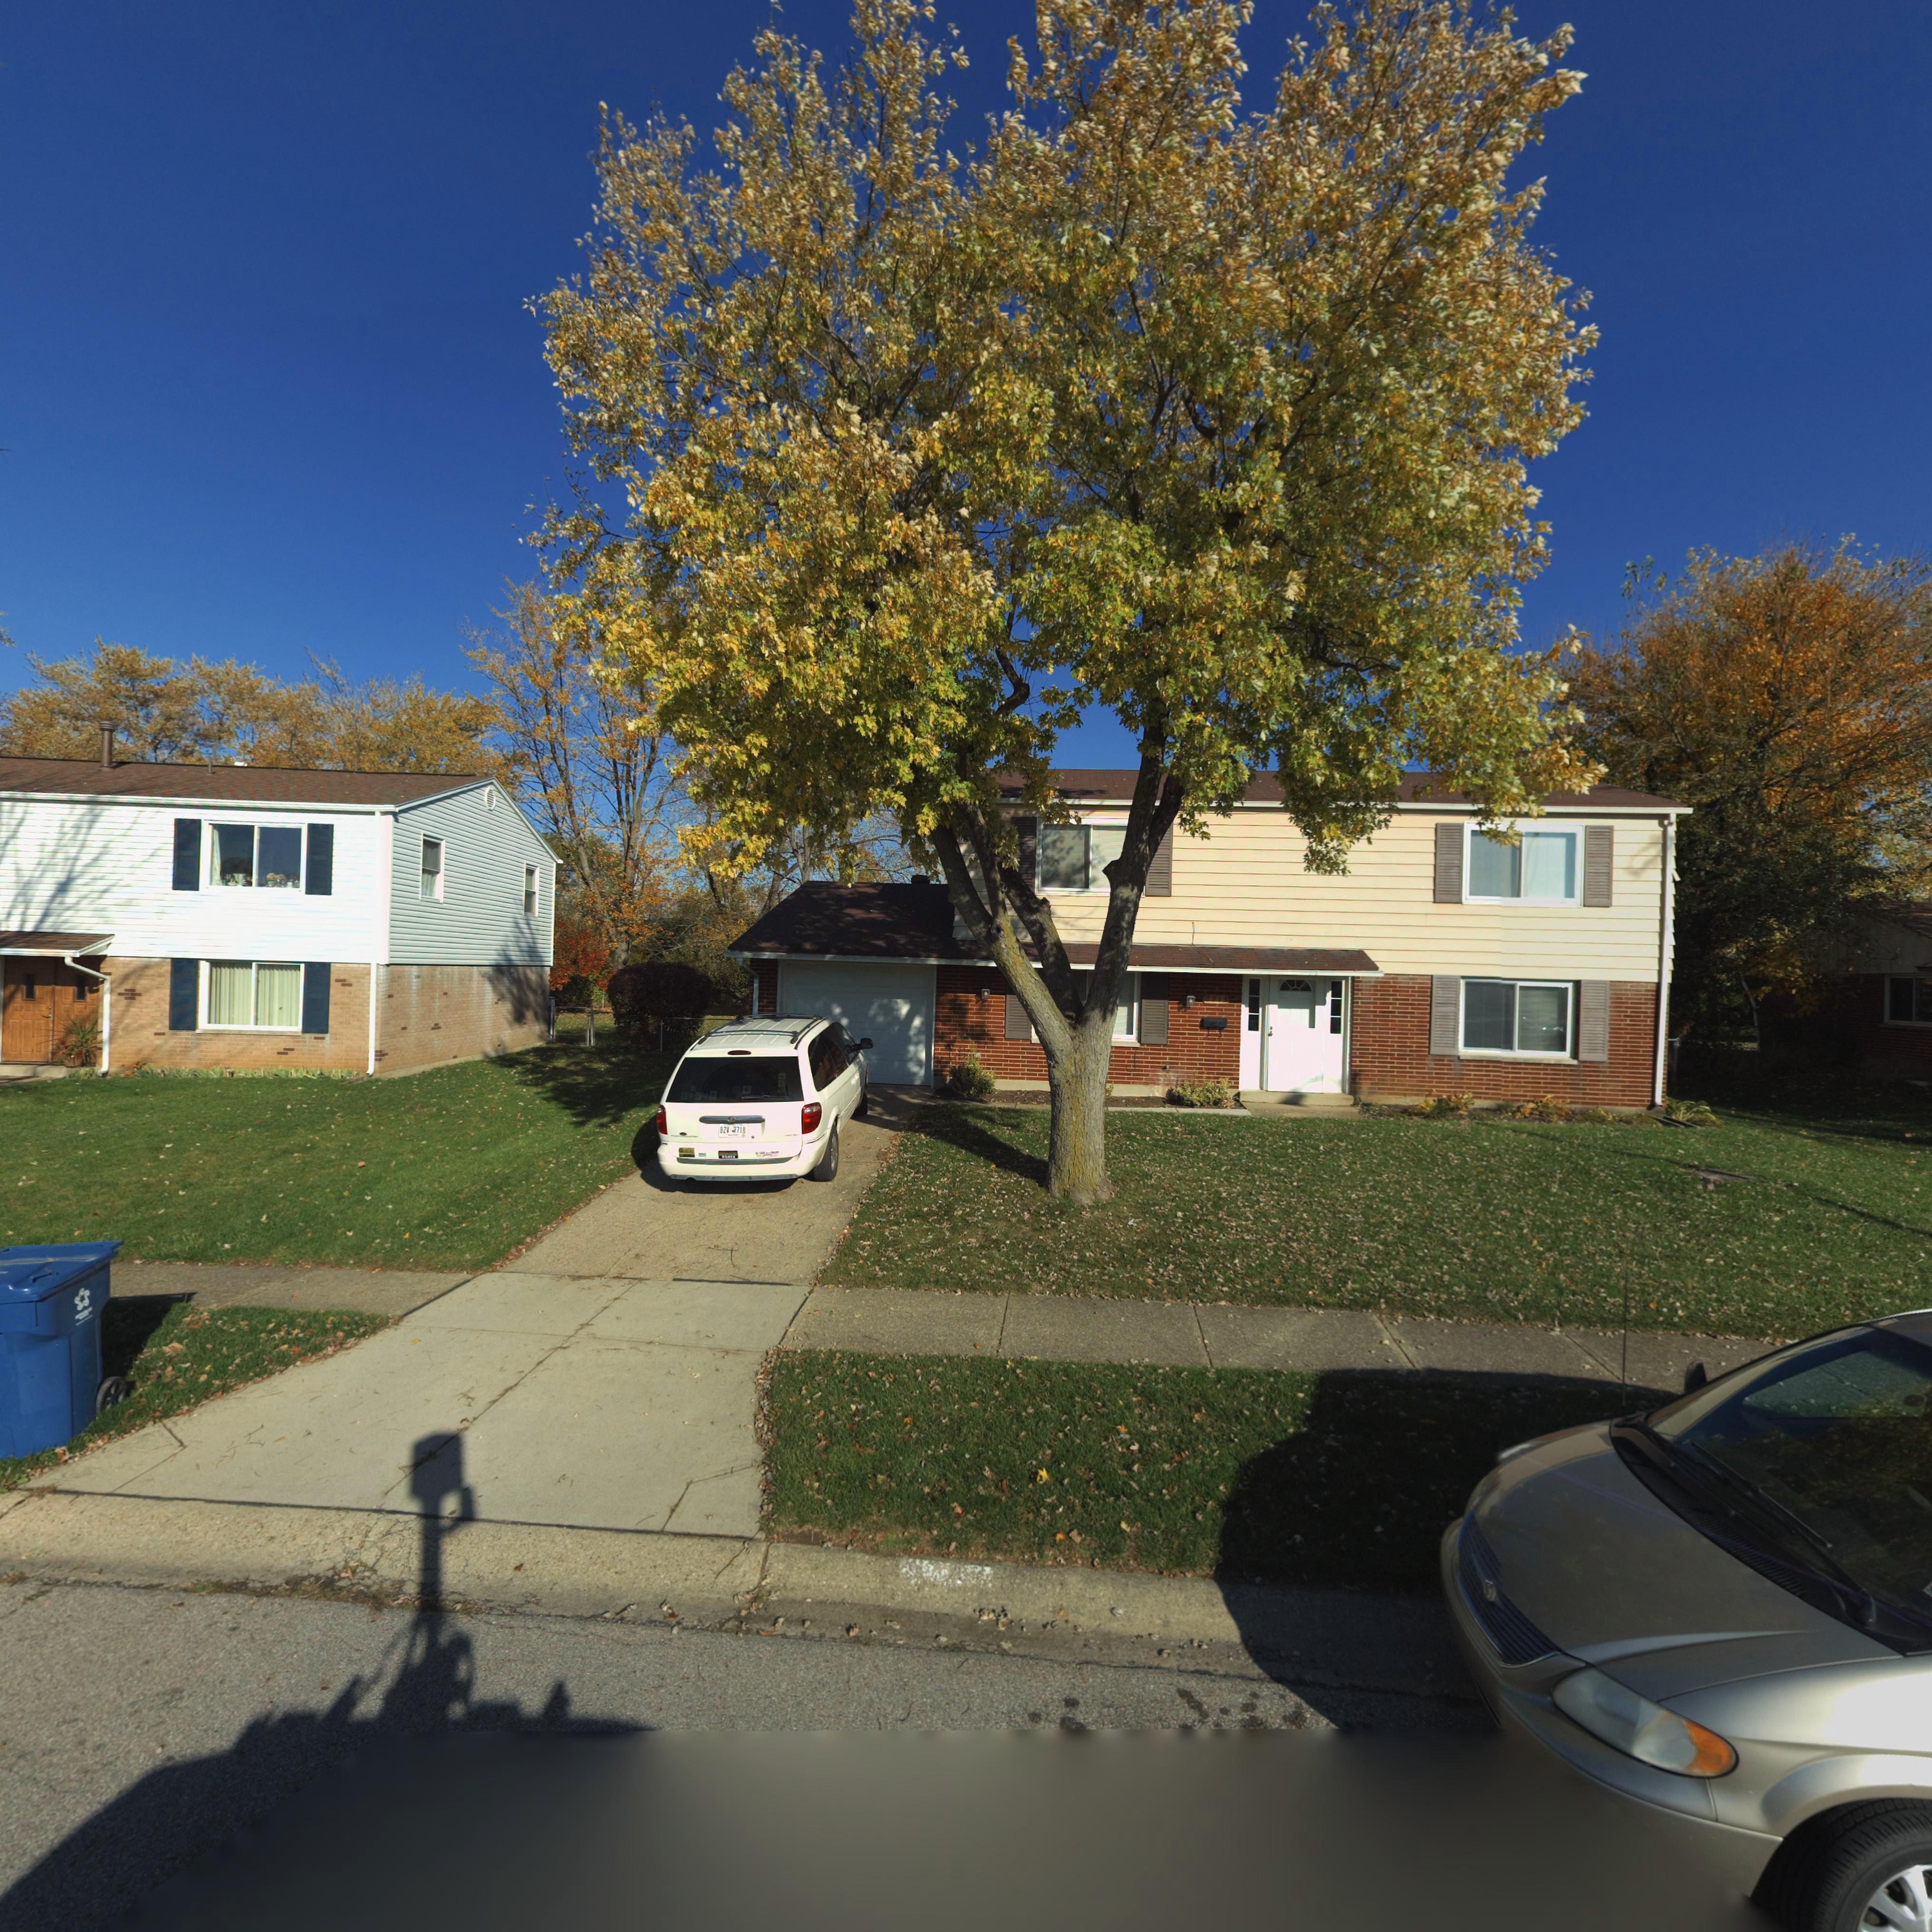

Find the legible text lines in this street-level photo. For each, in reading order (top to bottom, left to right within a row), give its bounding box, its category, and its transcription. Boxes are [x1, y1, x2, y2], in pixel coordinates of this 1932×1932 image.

[1205, 995, 1227, 1003] StreetNumber: 7913